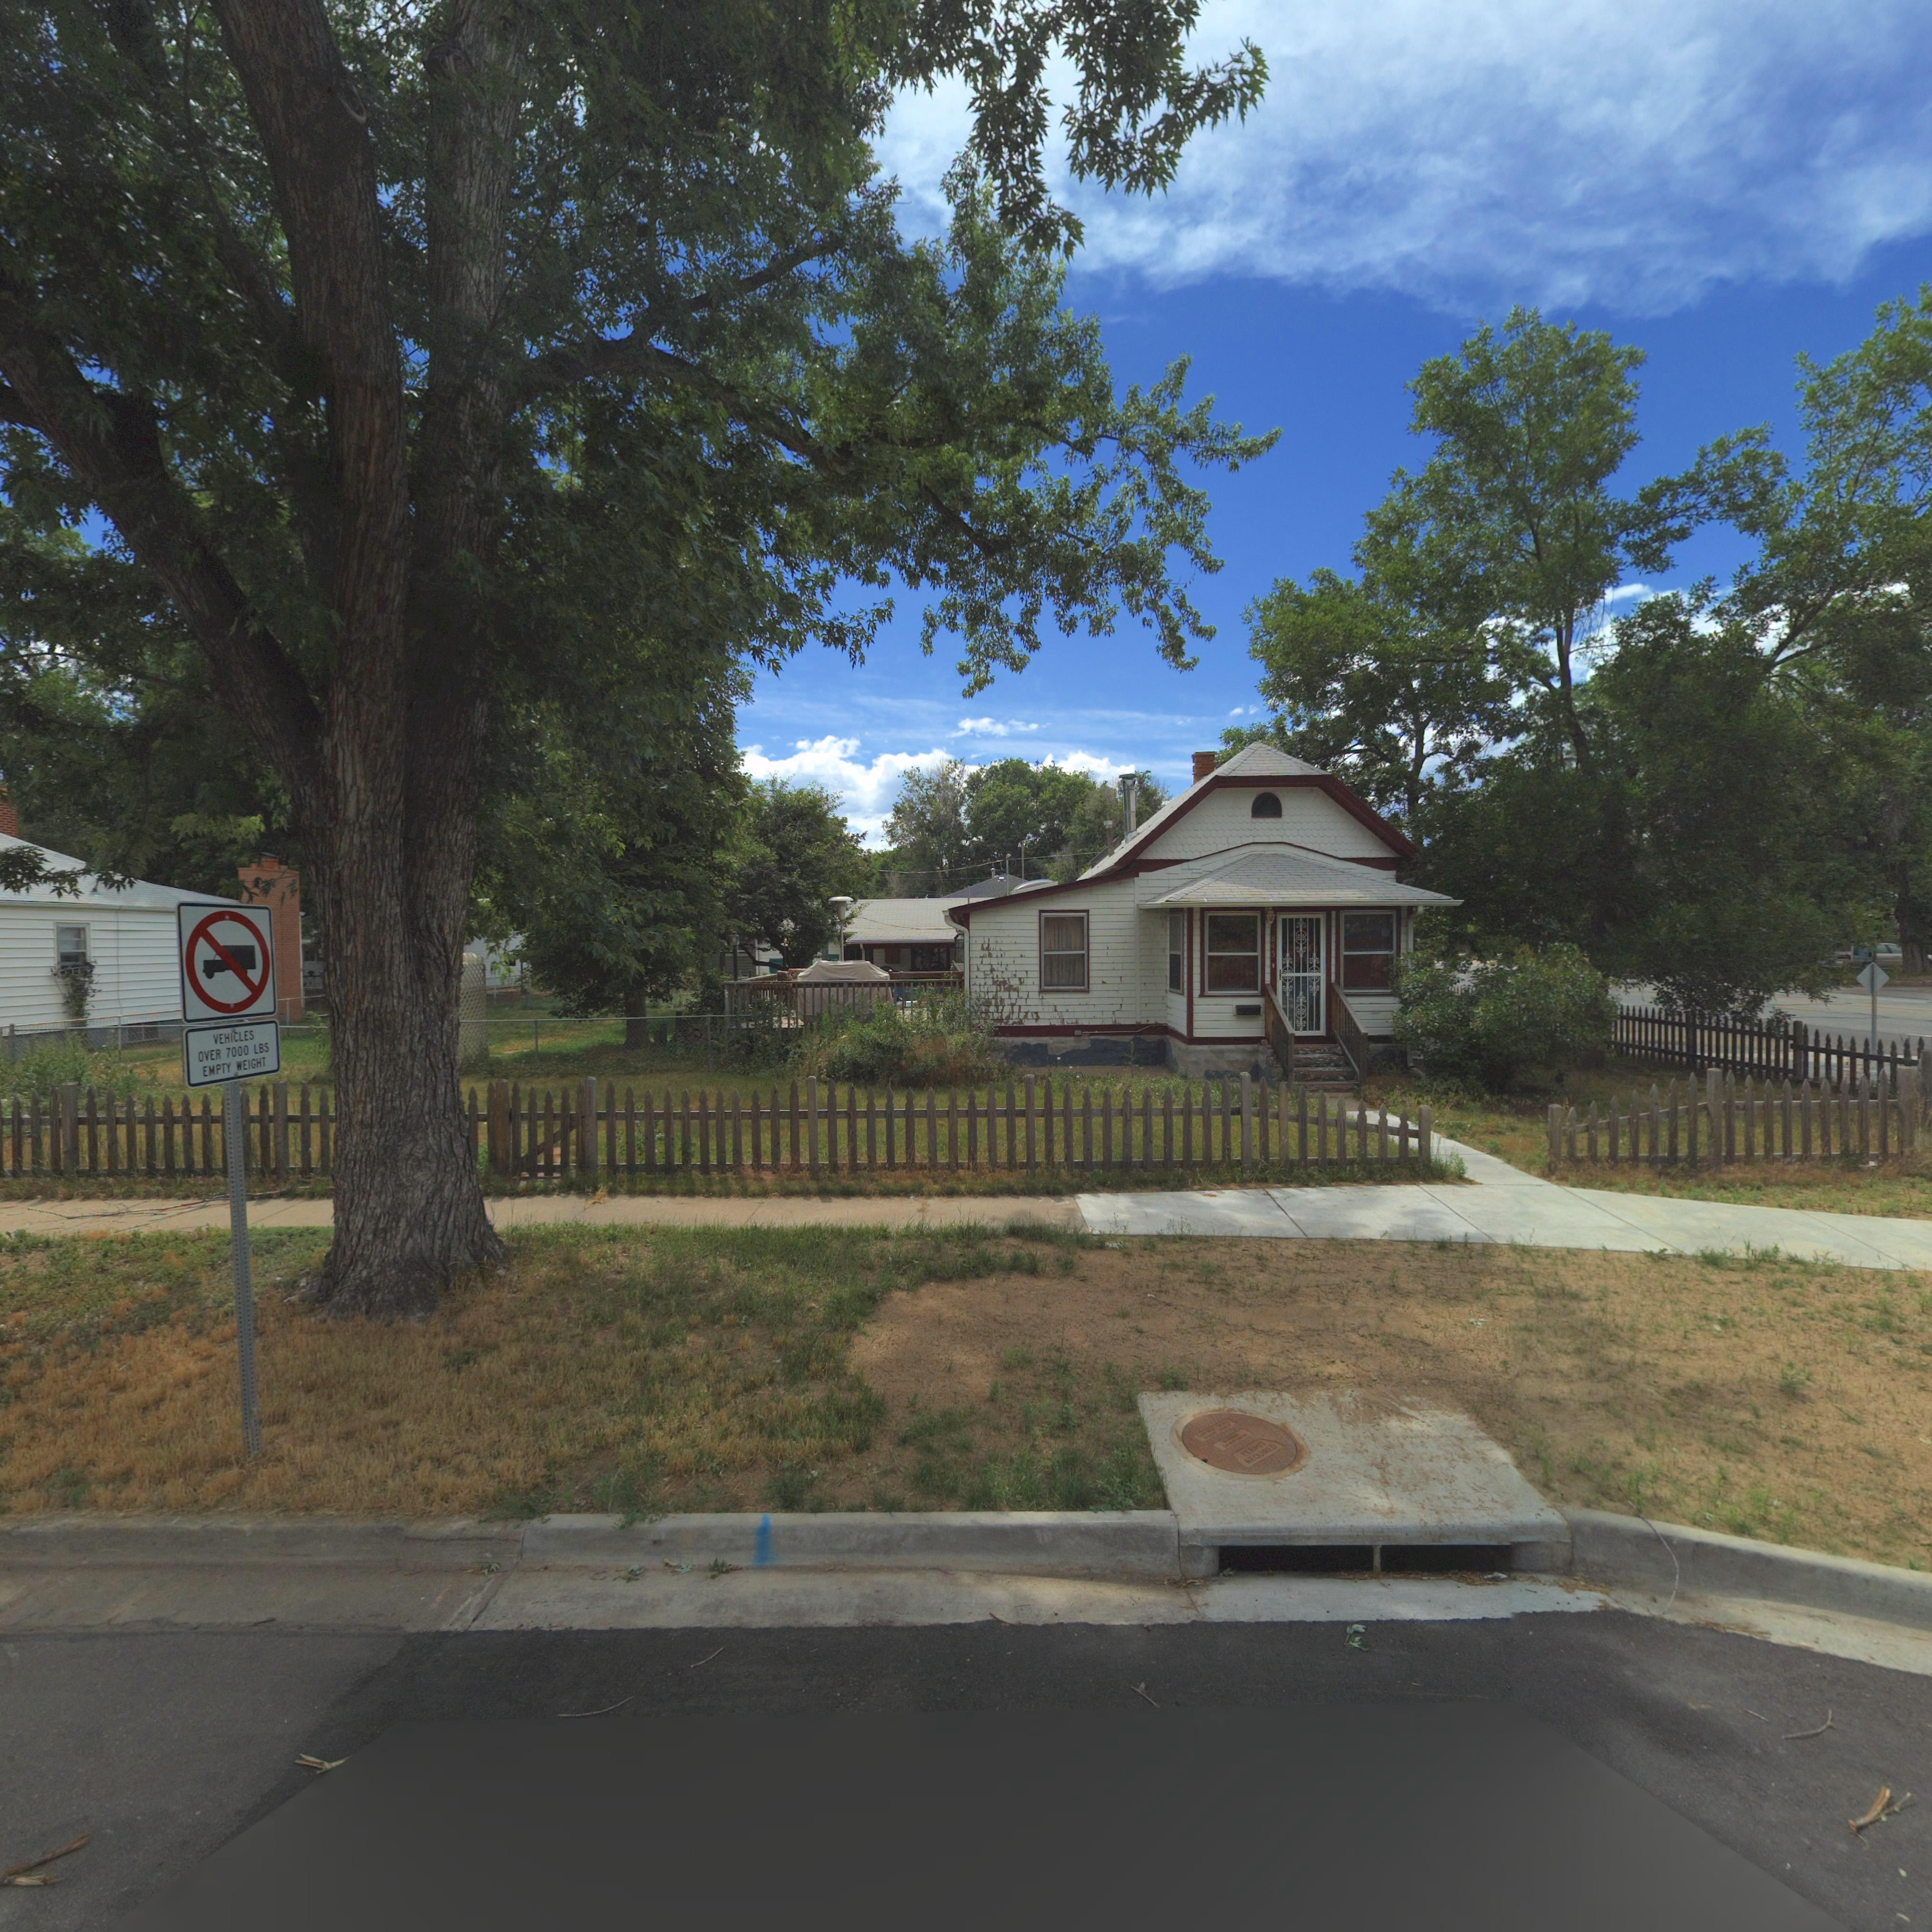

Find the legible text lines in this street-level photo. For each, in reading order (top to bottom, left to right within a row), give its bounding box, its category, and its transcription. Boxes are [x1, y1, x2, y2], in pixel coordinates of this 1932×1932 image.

[1271, 934, 1275, 958] StreetNumber: 845